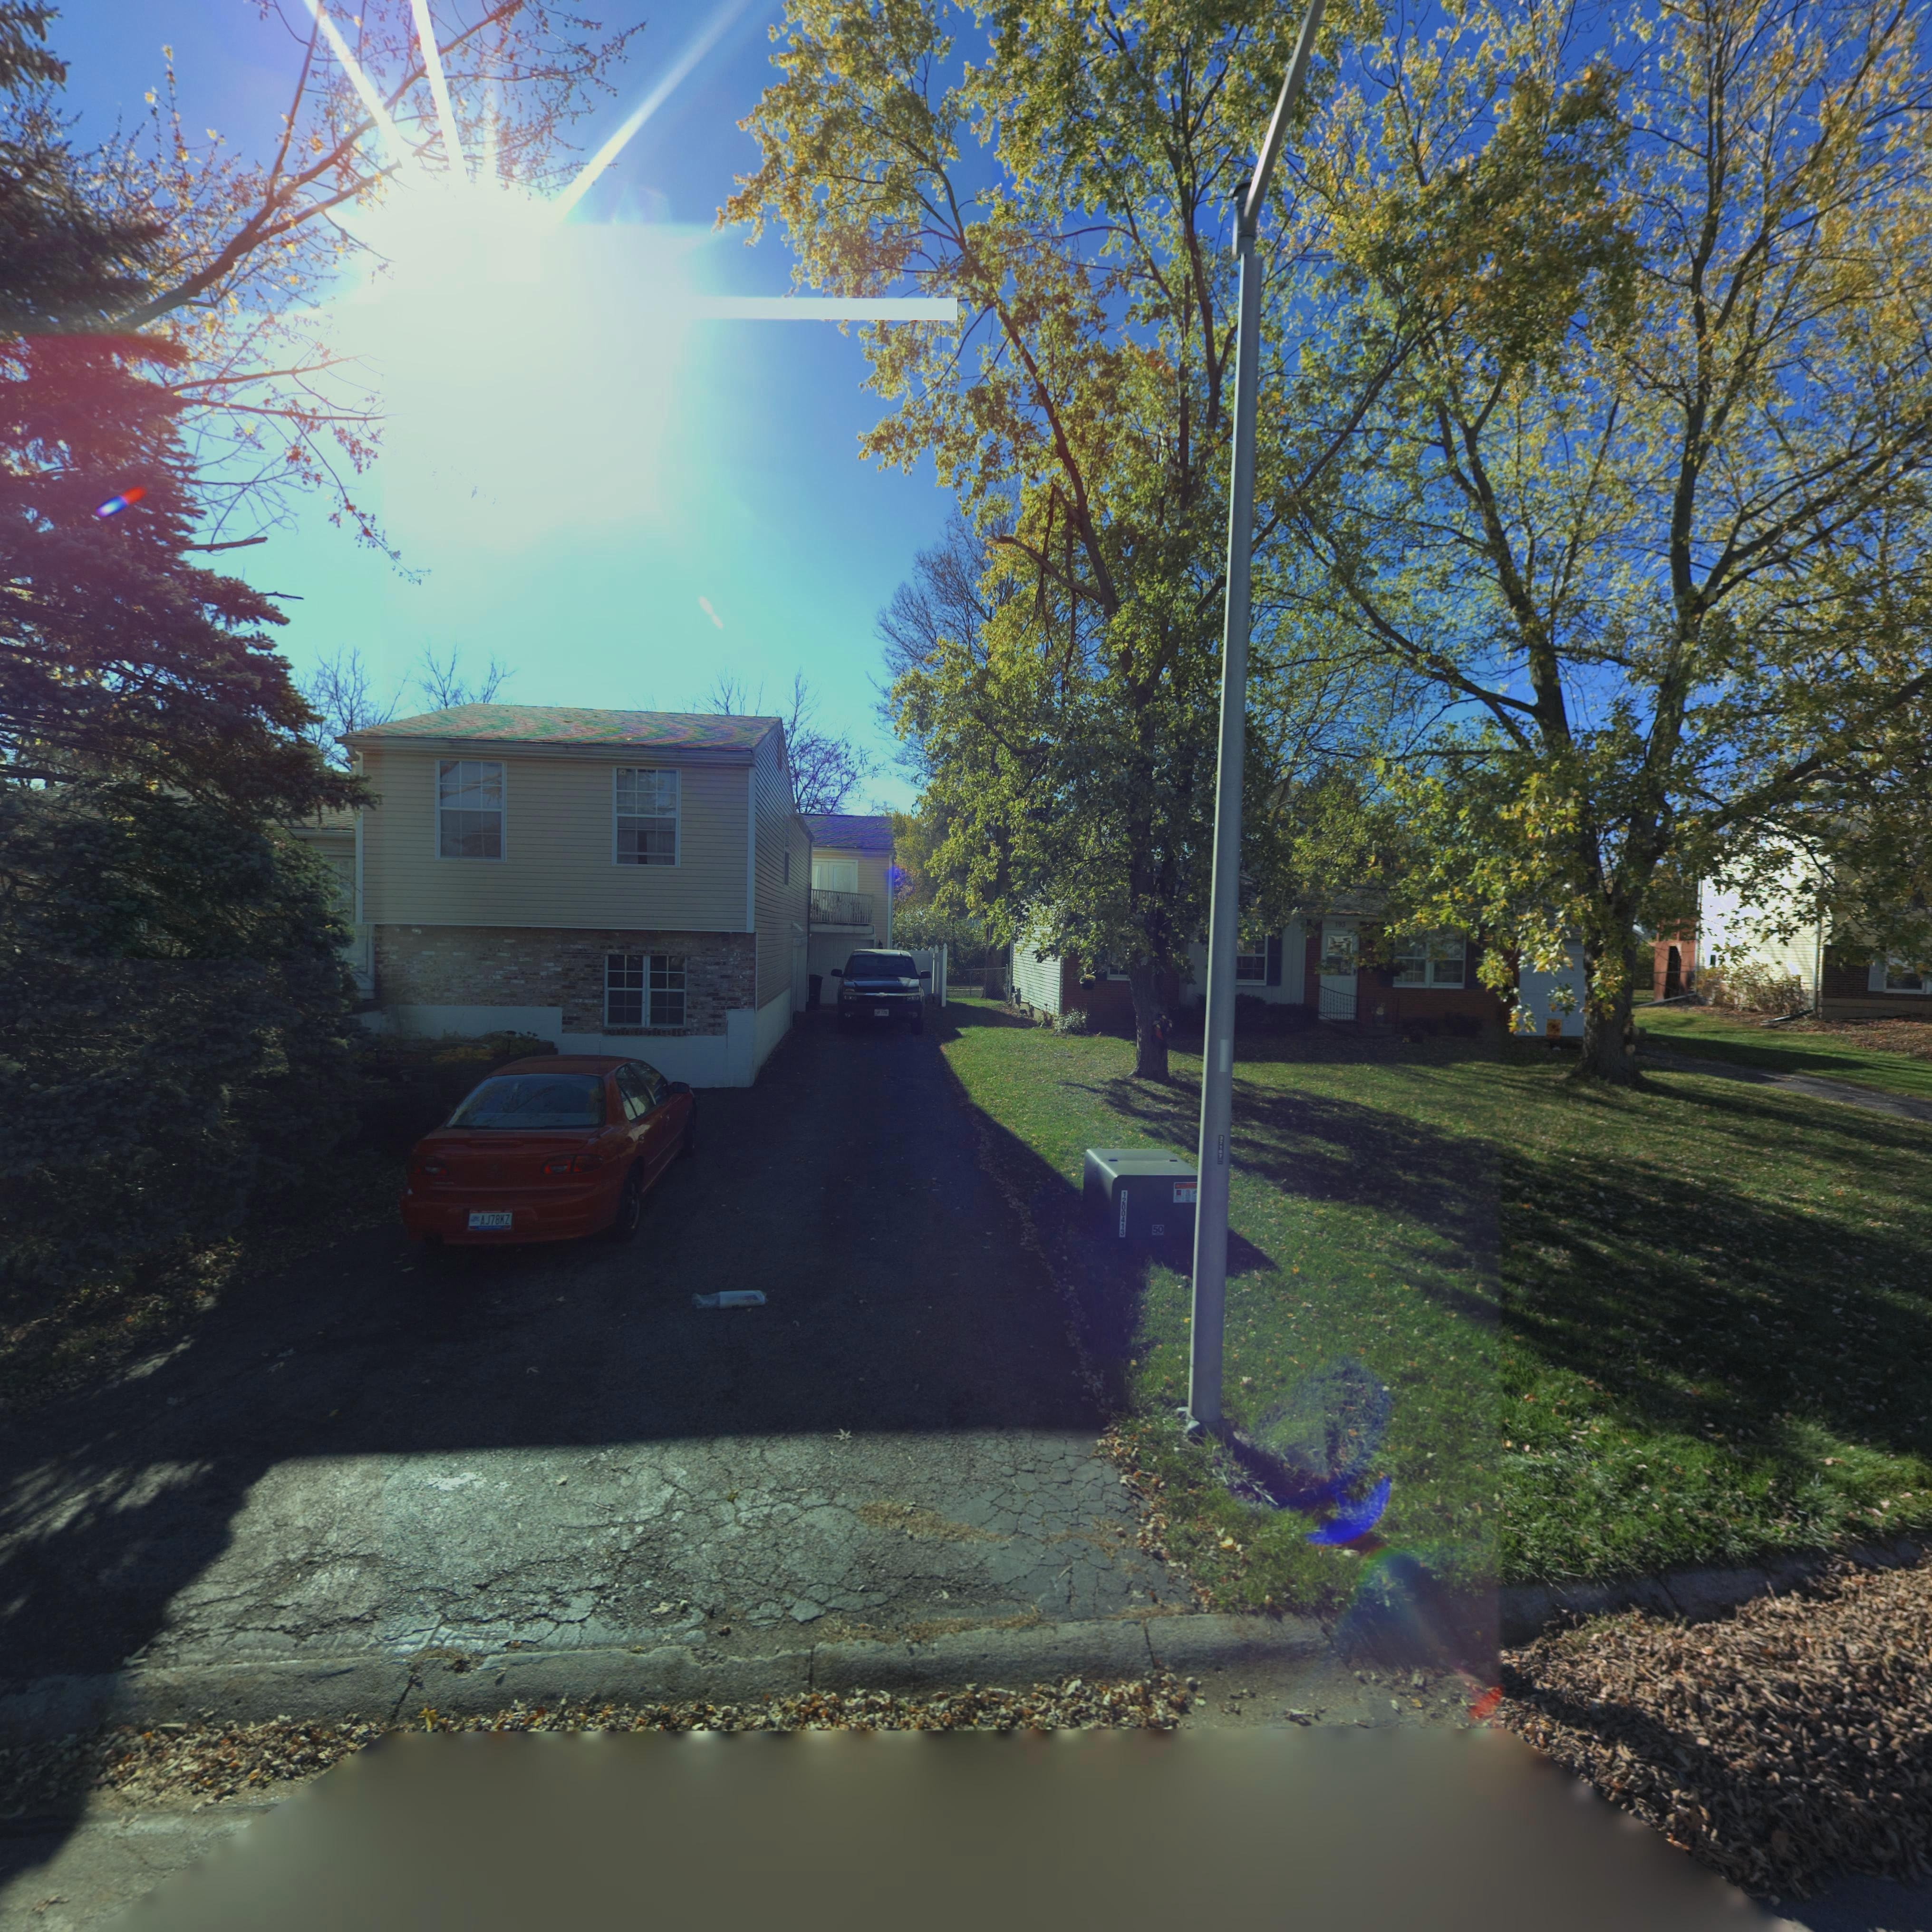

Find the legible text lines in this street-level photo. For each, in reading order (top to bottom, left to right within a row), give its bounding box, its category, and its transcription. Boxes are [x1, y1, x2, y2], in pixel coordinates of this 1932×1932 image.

[1334, 920, 1346, 928] StreetNumber: 19*